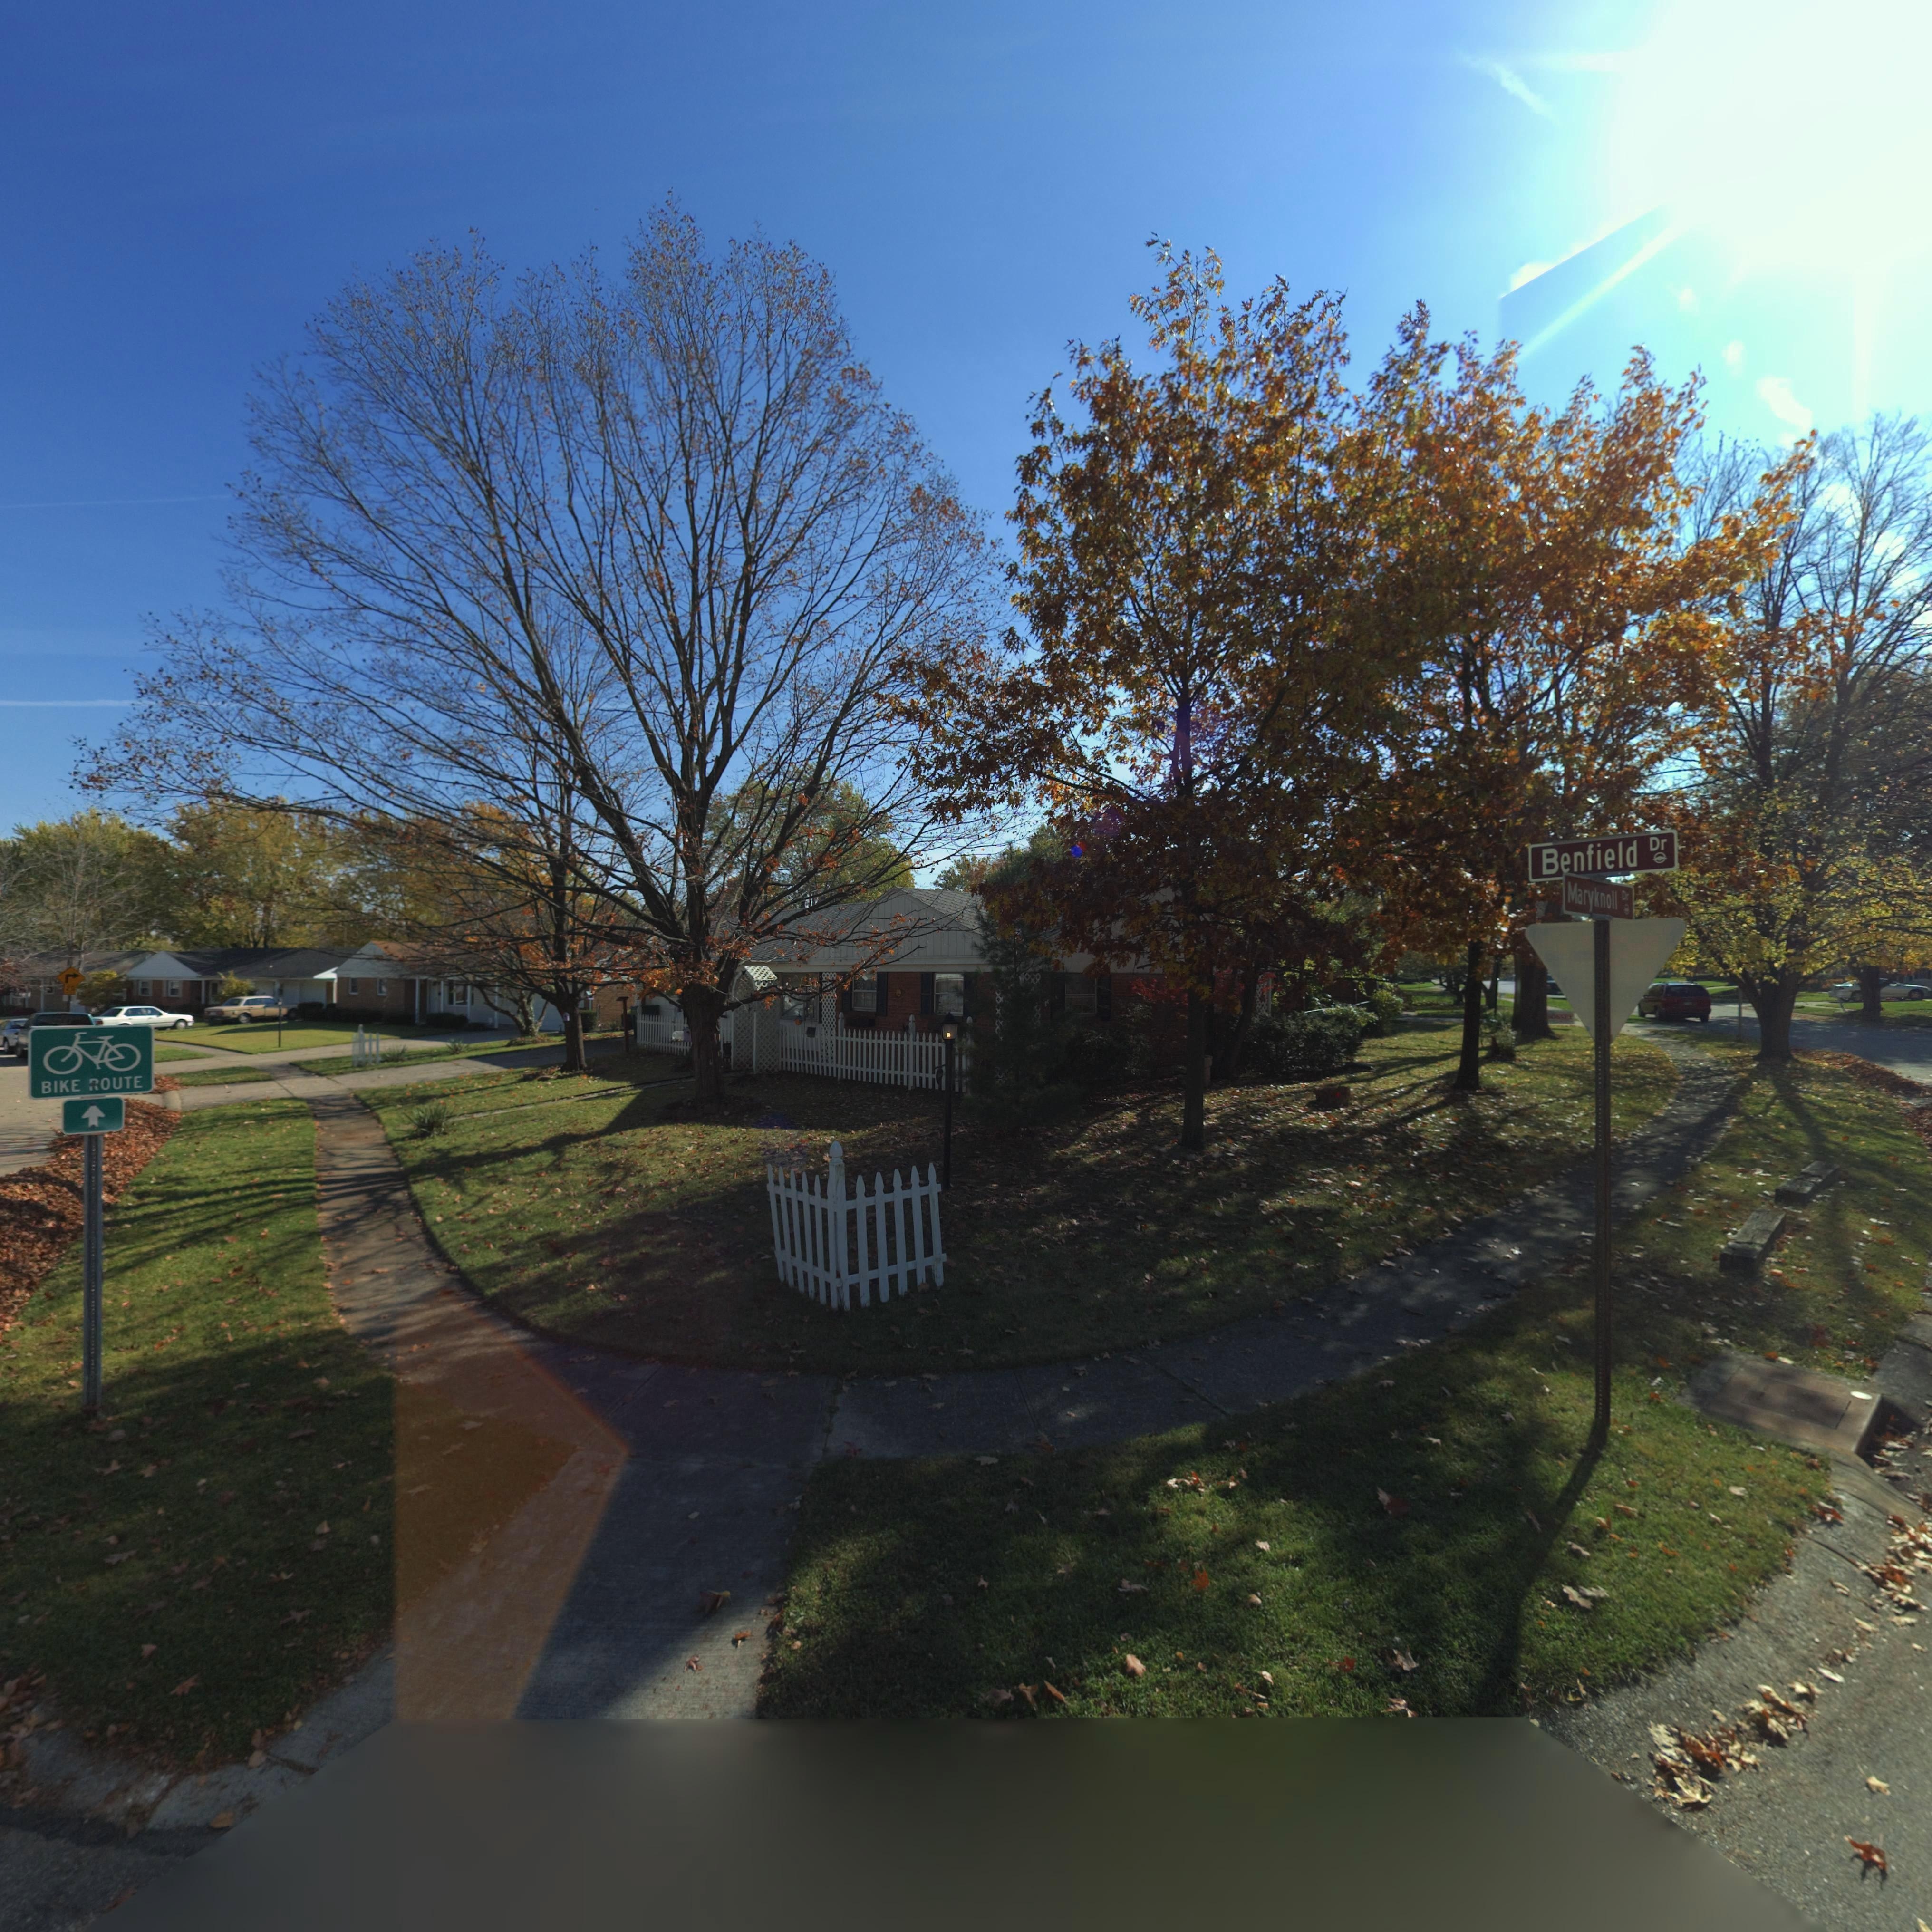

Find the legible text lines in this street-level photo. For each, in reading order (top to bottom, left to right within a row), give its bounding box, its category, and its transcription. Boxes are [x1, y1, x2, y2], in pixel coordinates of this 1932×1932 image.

[1541, 835, 1670, 876] StreetName: Benfield Dr
[1565, 880, 1630, 913] StreetName: Maryknoll 
[66, 985, 76, 992] None: 20
[40, 1075, 144, 1095] None: BIKE ROUTE